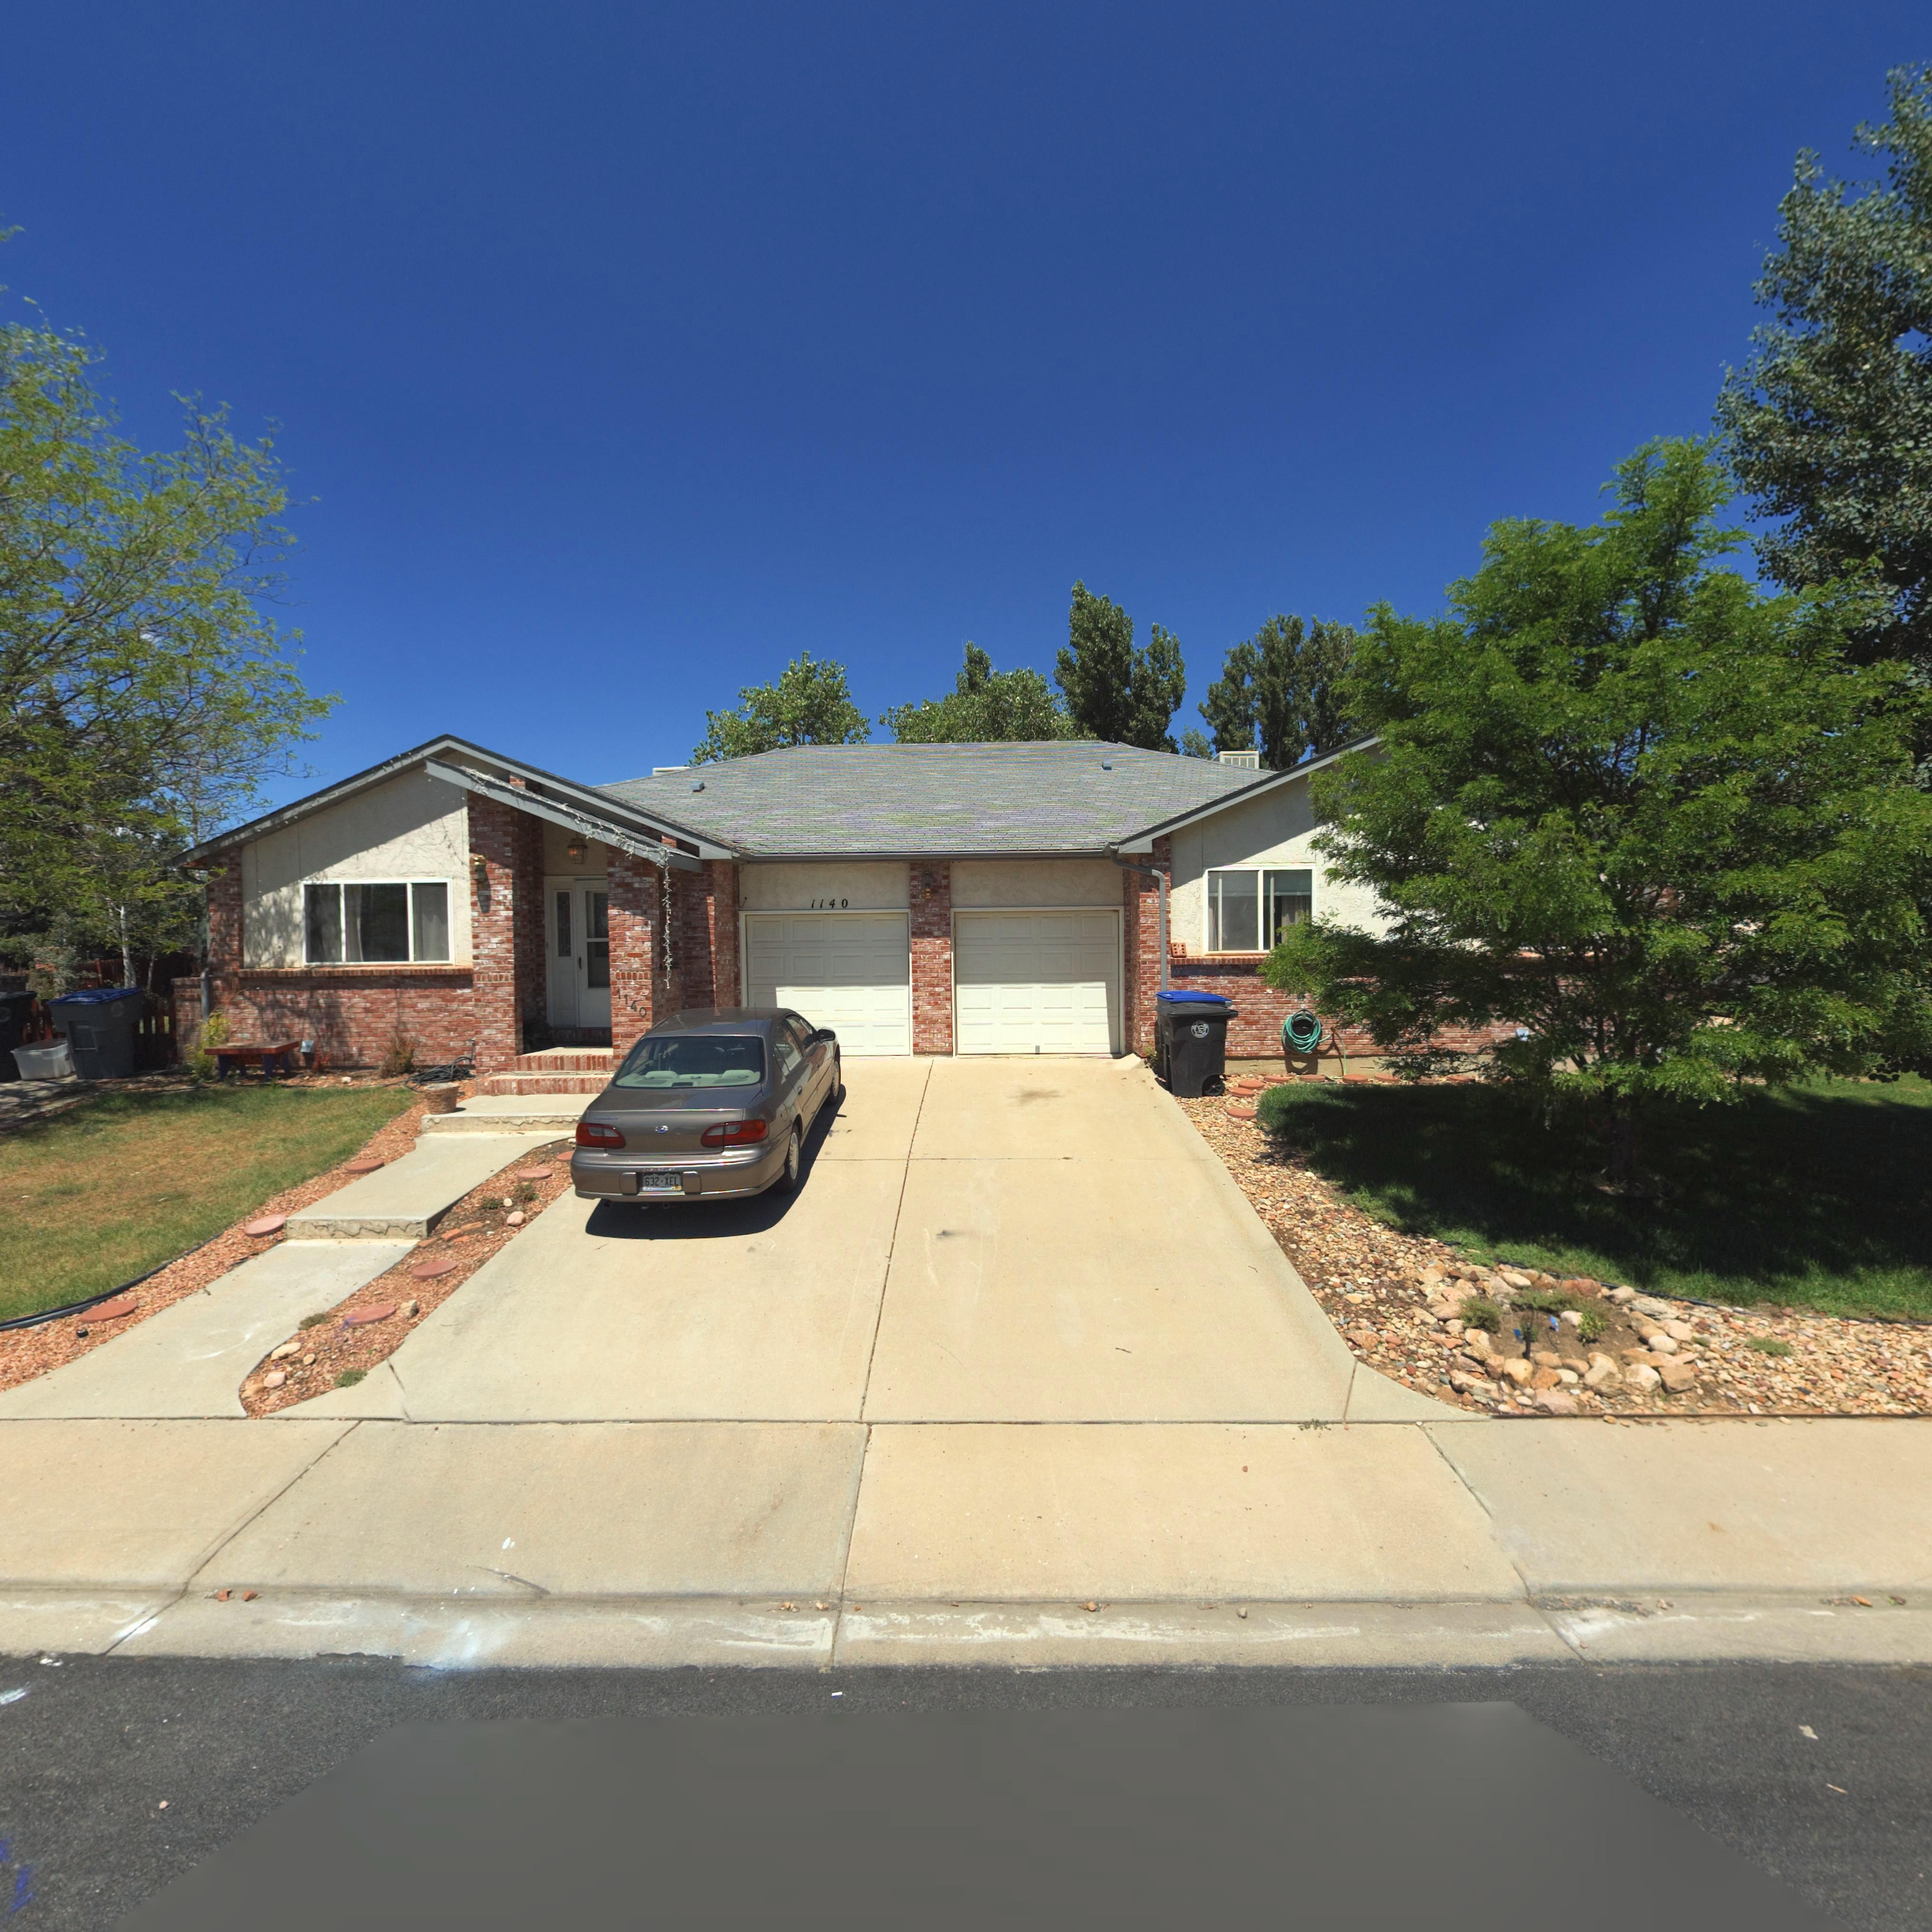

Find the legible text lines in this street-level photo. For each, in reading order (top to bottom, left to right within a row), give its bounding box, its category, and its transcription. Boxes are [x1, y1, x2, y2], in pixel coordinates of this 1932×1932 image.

[811, 898, 848, 908] StreetNumber: 1140